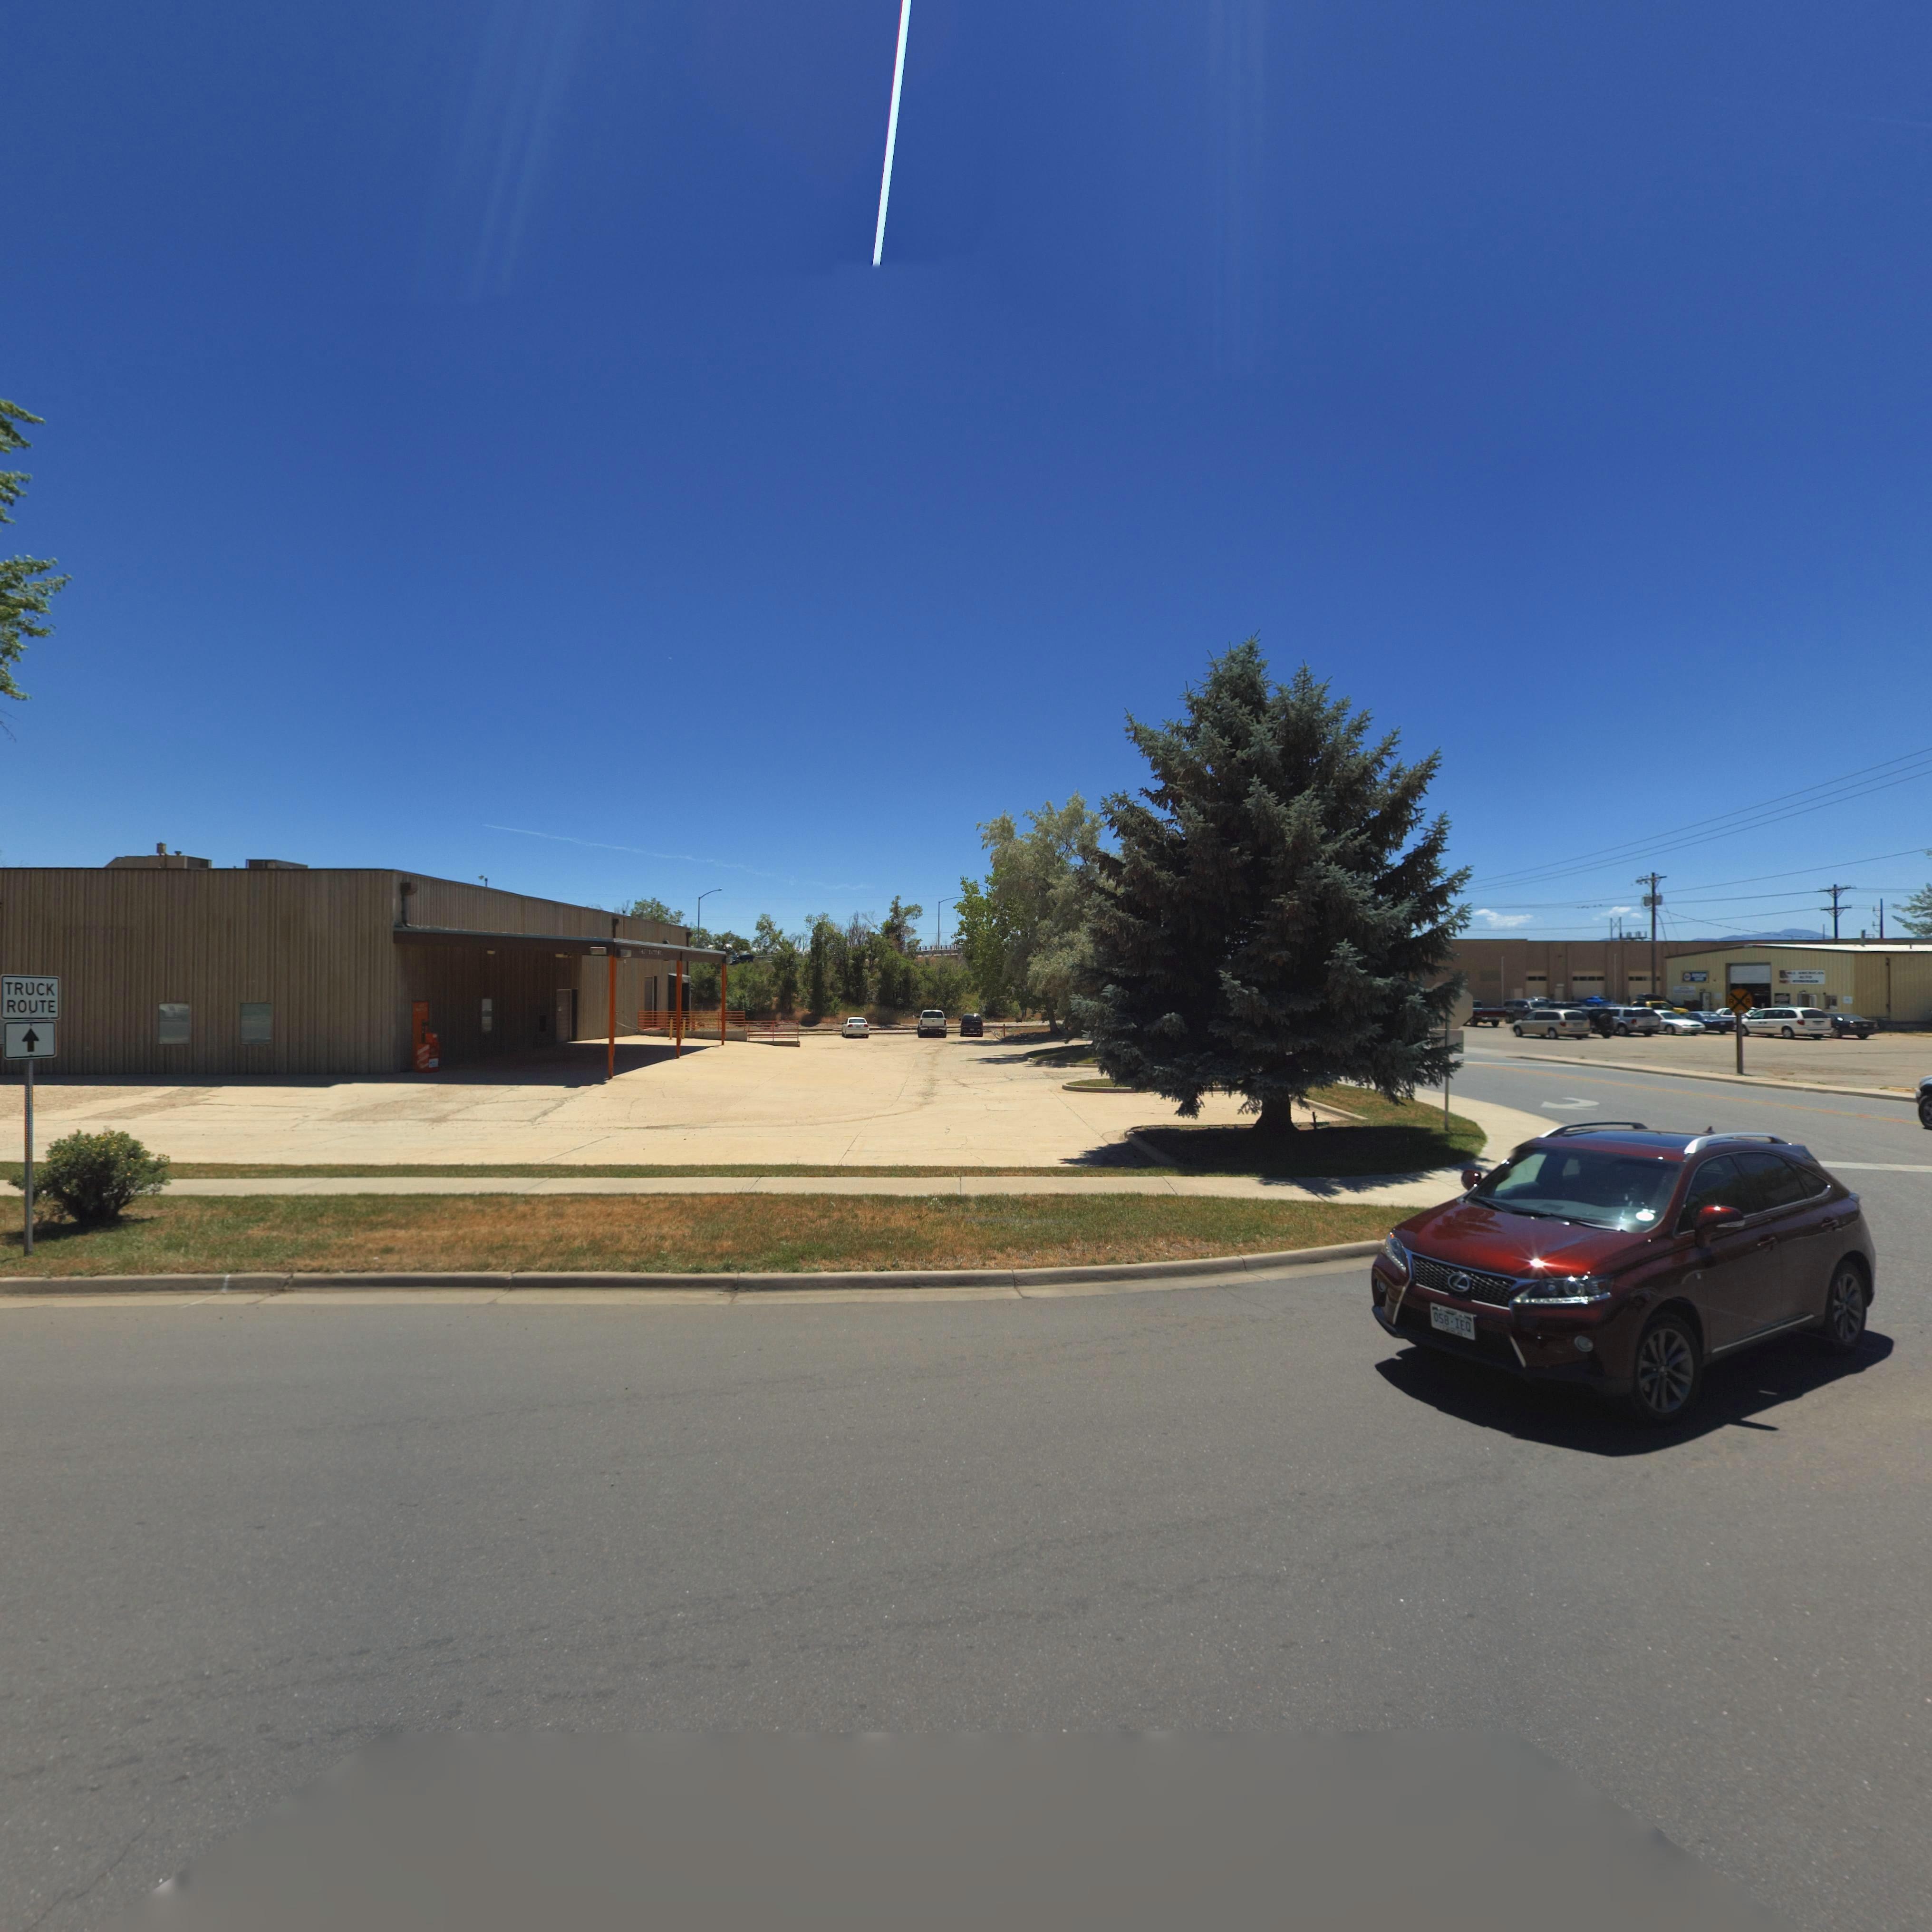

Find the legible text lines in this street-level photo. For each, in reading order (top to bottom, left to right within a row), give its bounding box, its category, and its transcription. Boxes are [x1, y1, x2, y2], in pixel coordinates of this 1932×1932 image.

[657, 949, 663, 955] StreetName: St.
[1691, 973, 1706, 977] BusinessName: A**OC***